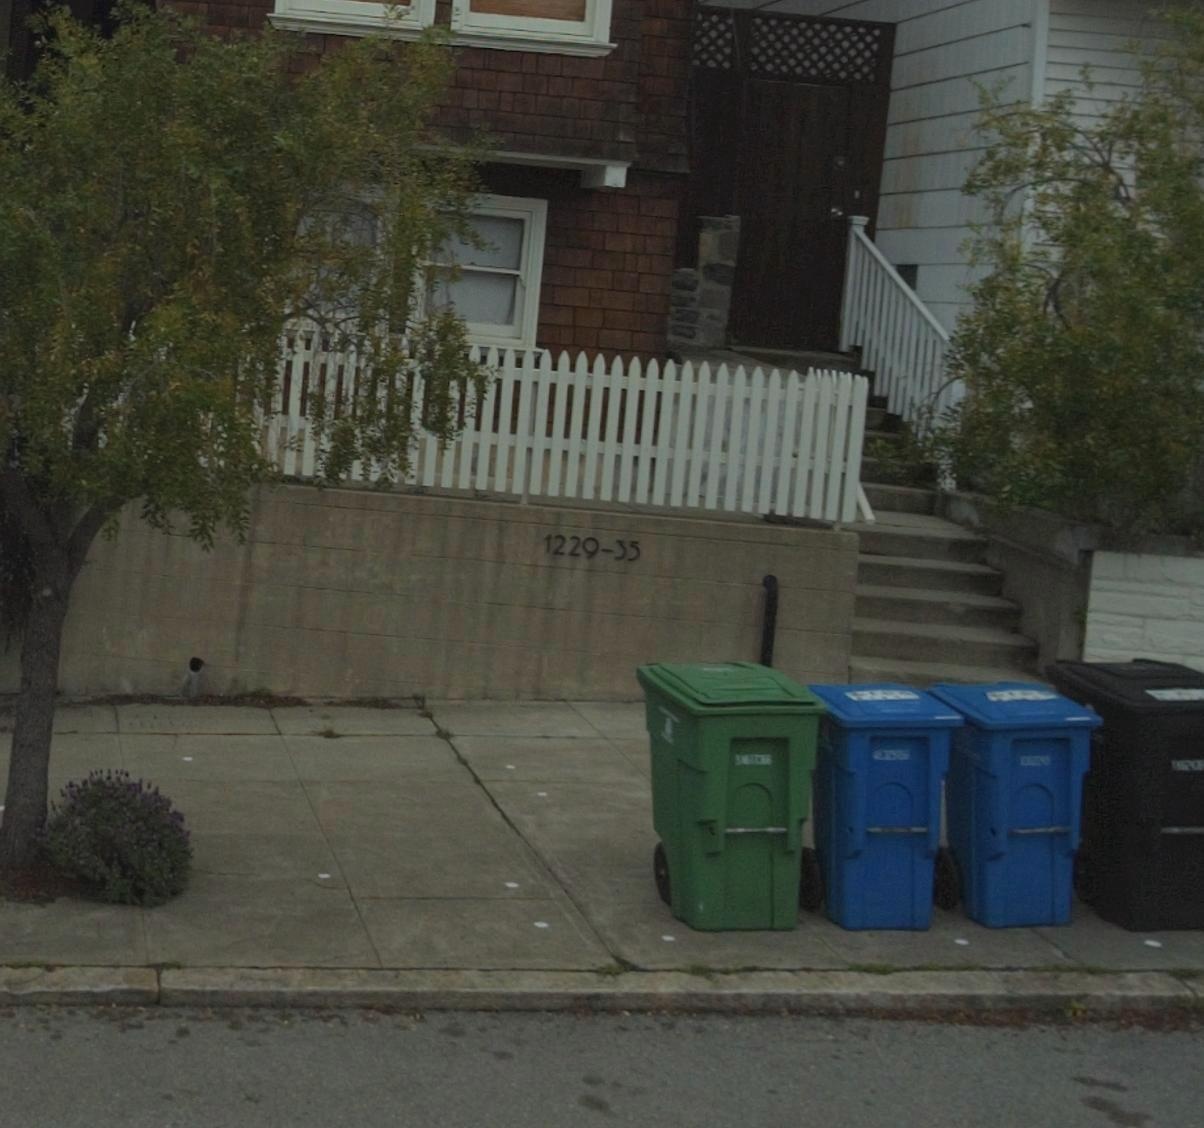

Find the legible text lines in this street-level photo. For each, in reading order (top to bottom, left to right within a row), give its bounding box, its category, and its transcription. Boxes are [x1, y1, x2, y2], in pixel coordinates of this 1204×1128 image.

[543, 532, 601, 561] StreetNumber: 1229
[613, 539, 642, 563] StreetNumber: 35